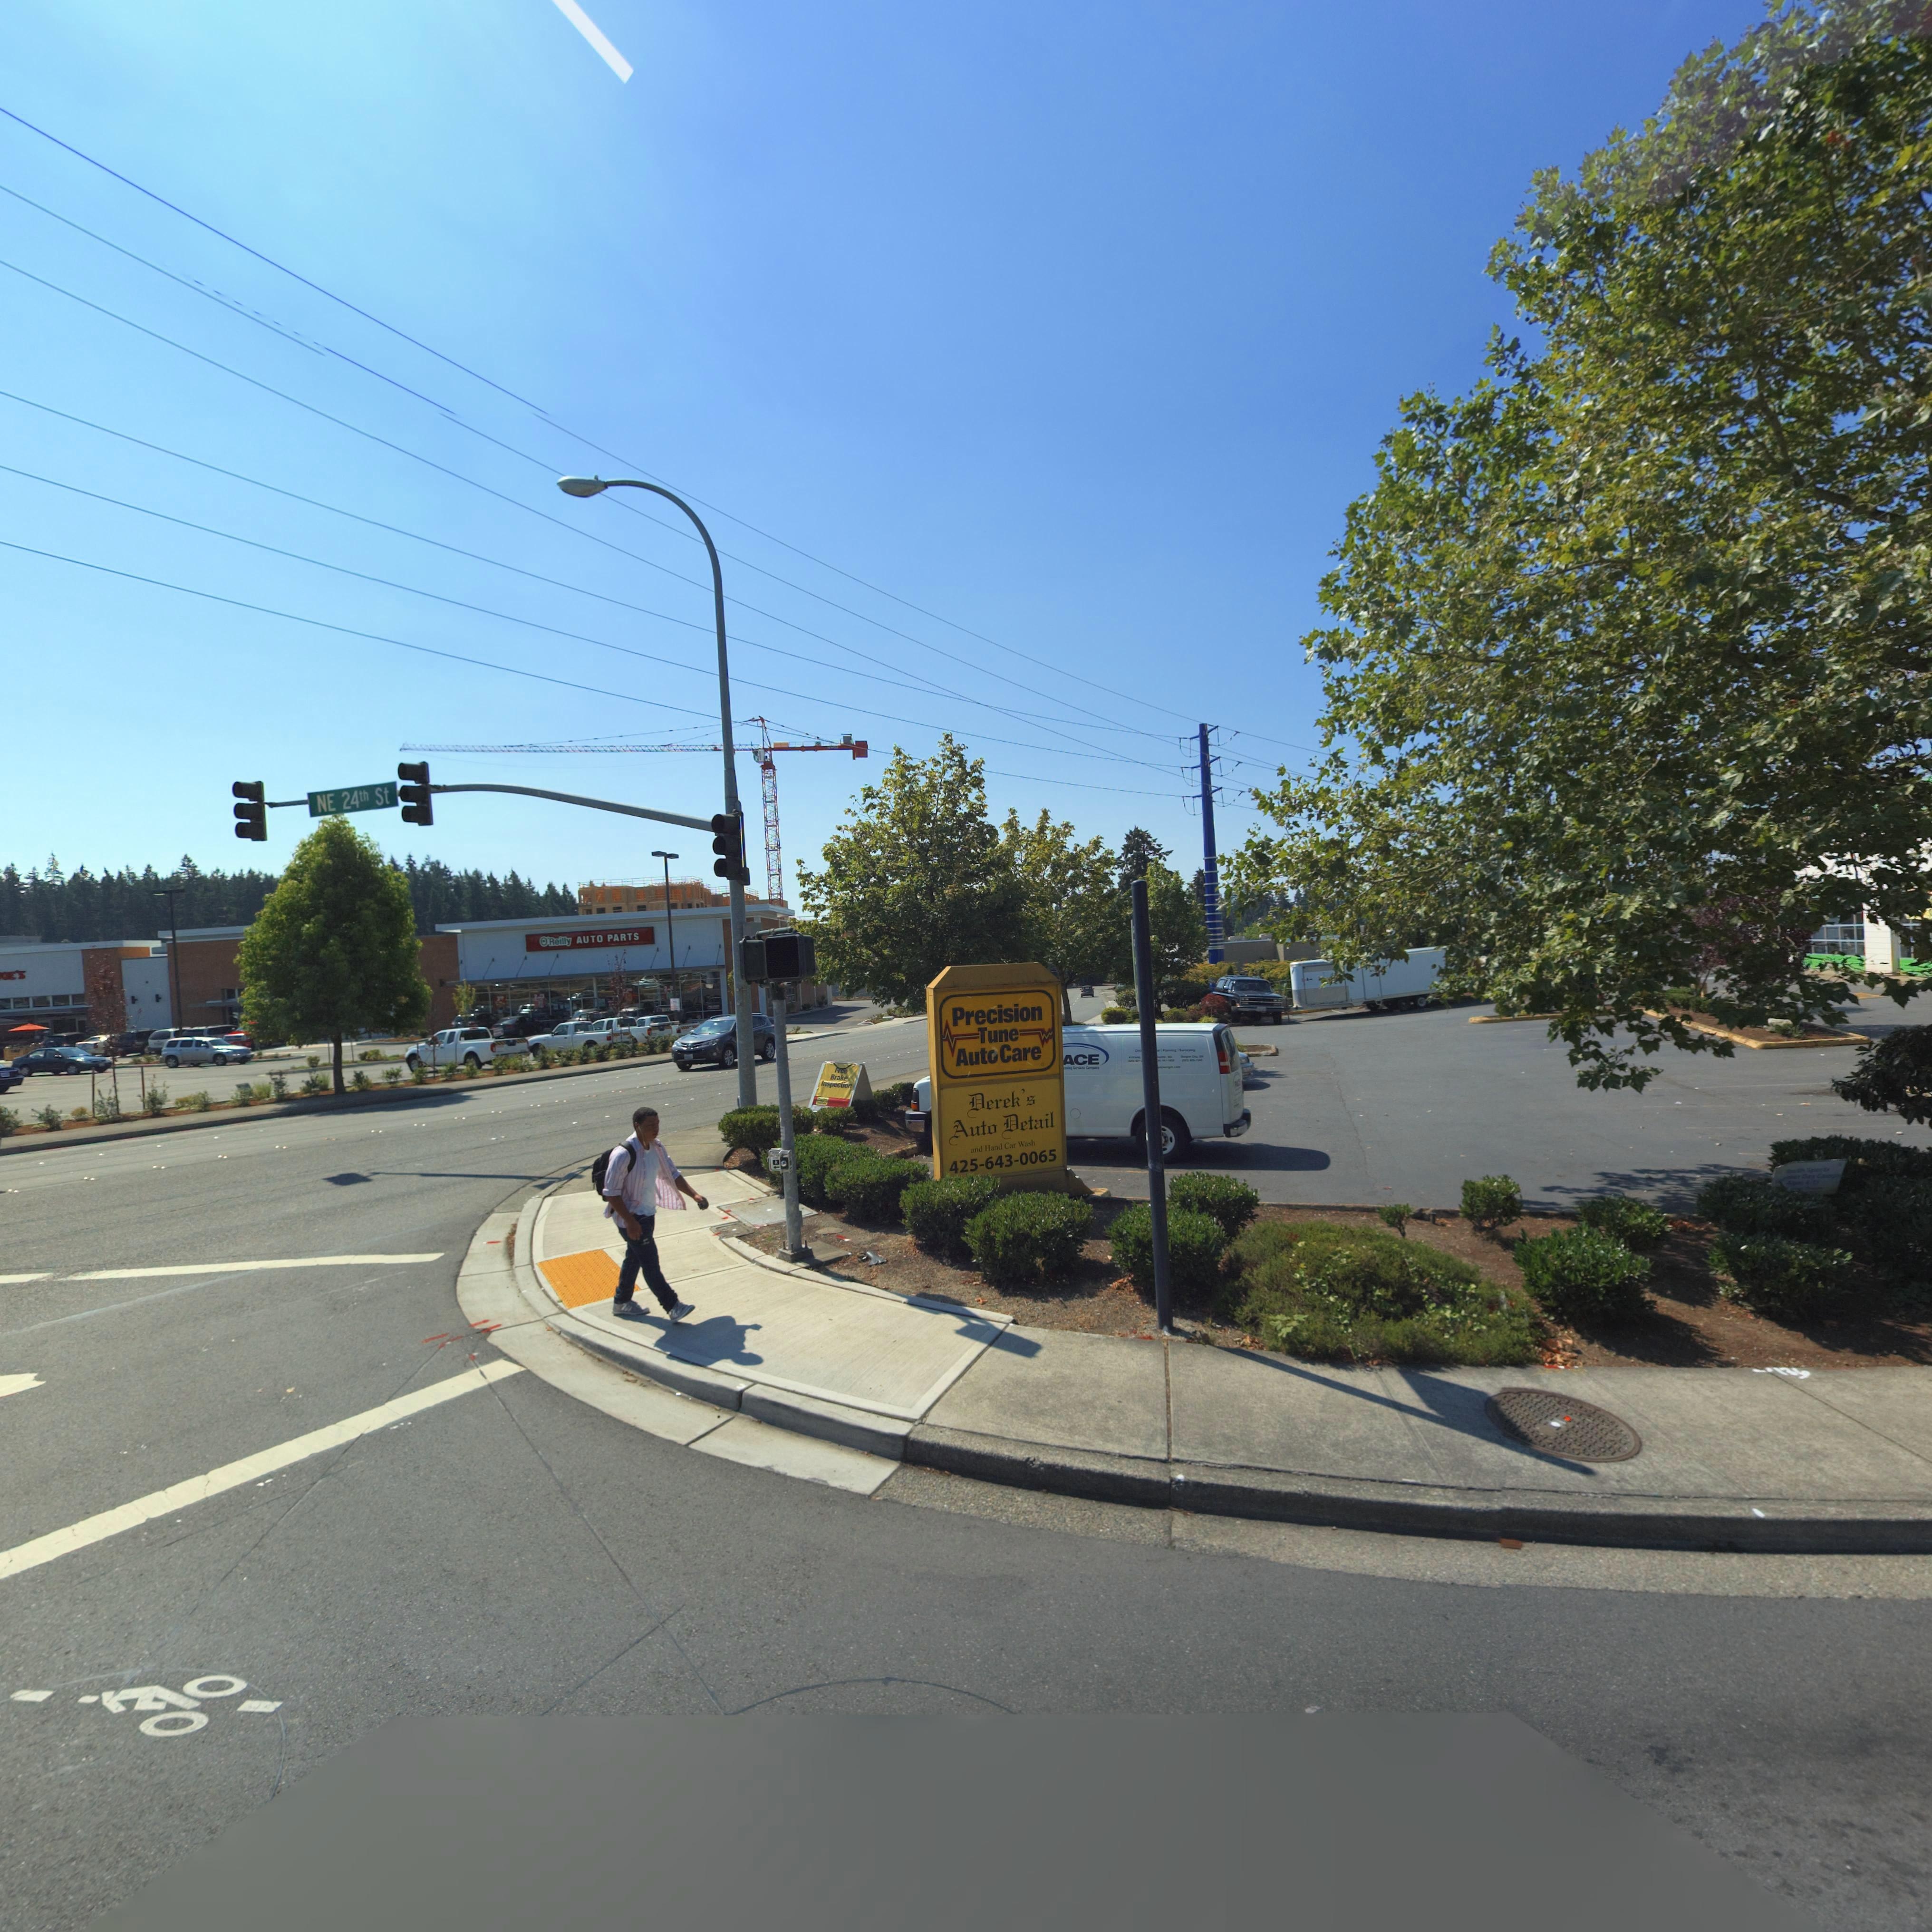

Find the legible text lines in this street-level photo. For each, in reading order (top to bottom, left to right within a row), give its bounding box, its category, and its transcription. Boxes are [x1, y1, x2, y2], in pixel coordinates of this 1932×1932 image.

[315, 785, 390, 813] StreetName: NE 24th St
[539, 932, 639, 947] BusinessName: O'Reilly AUTO PARTS
[951, 1002, 1043, 1026] BusinessName: Precision
[955, 1042, 1042, 1066] BusinessName: Auto Care
[821, 1080, 852, 1089] SecondaryUnitDesignator: Inspection
[829, 1073, 848, 1081] SecondaryUnitDesignator: Brake
[966, 1088, 1036, 1119] BusinessName: Derek's
[948, 1110, 1055, 1147] BusinessName: Auto Detail
[970, 1139, 1036, 1154] SecondaryUnitDesignator: and Hand Car Wash
[949, 1149, 1057, 1174] PhoneNumber: 425-643-0065